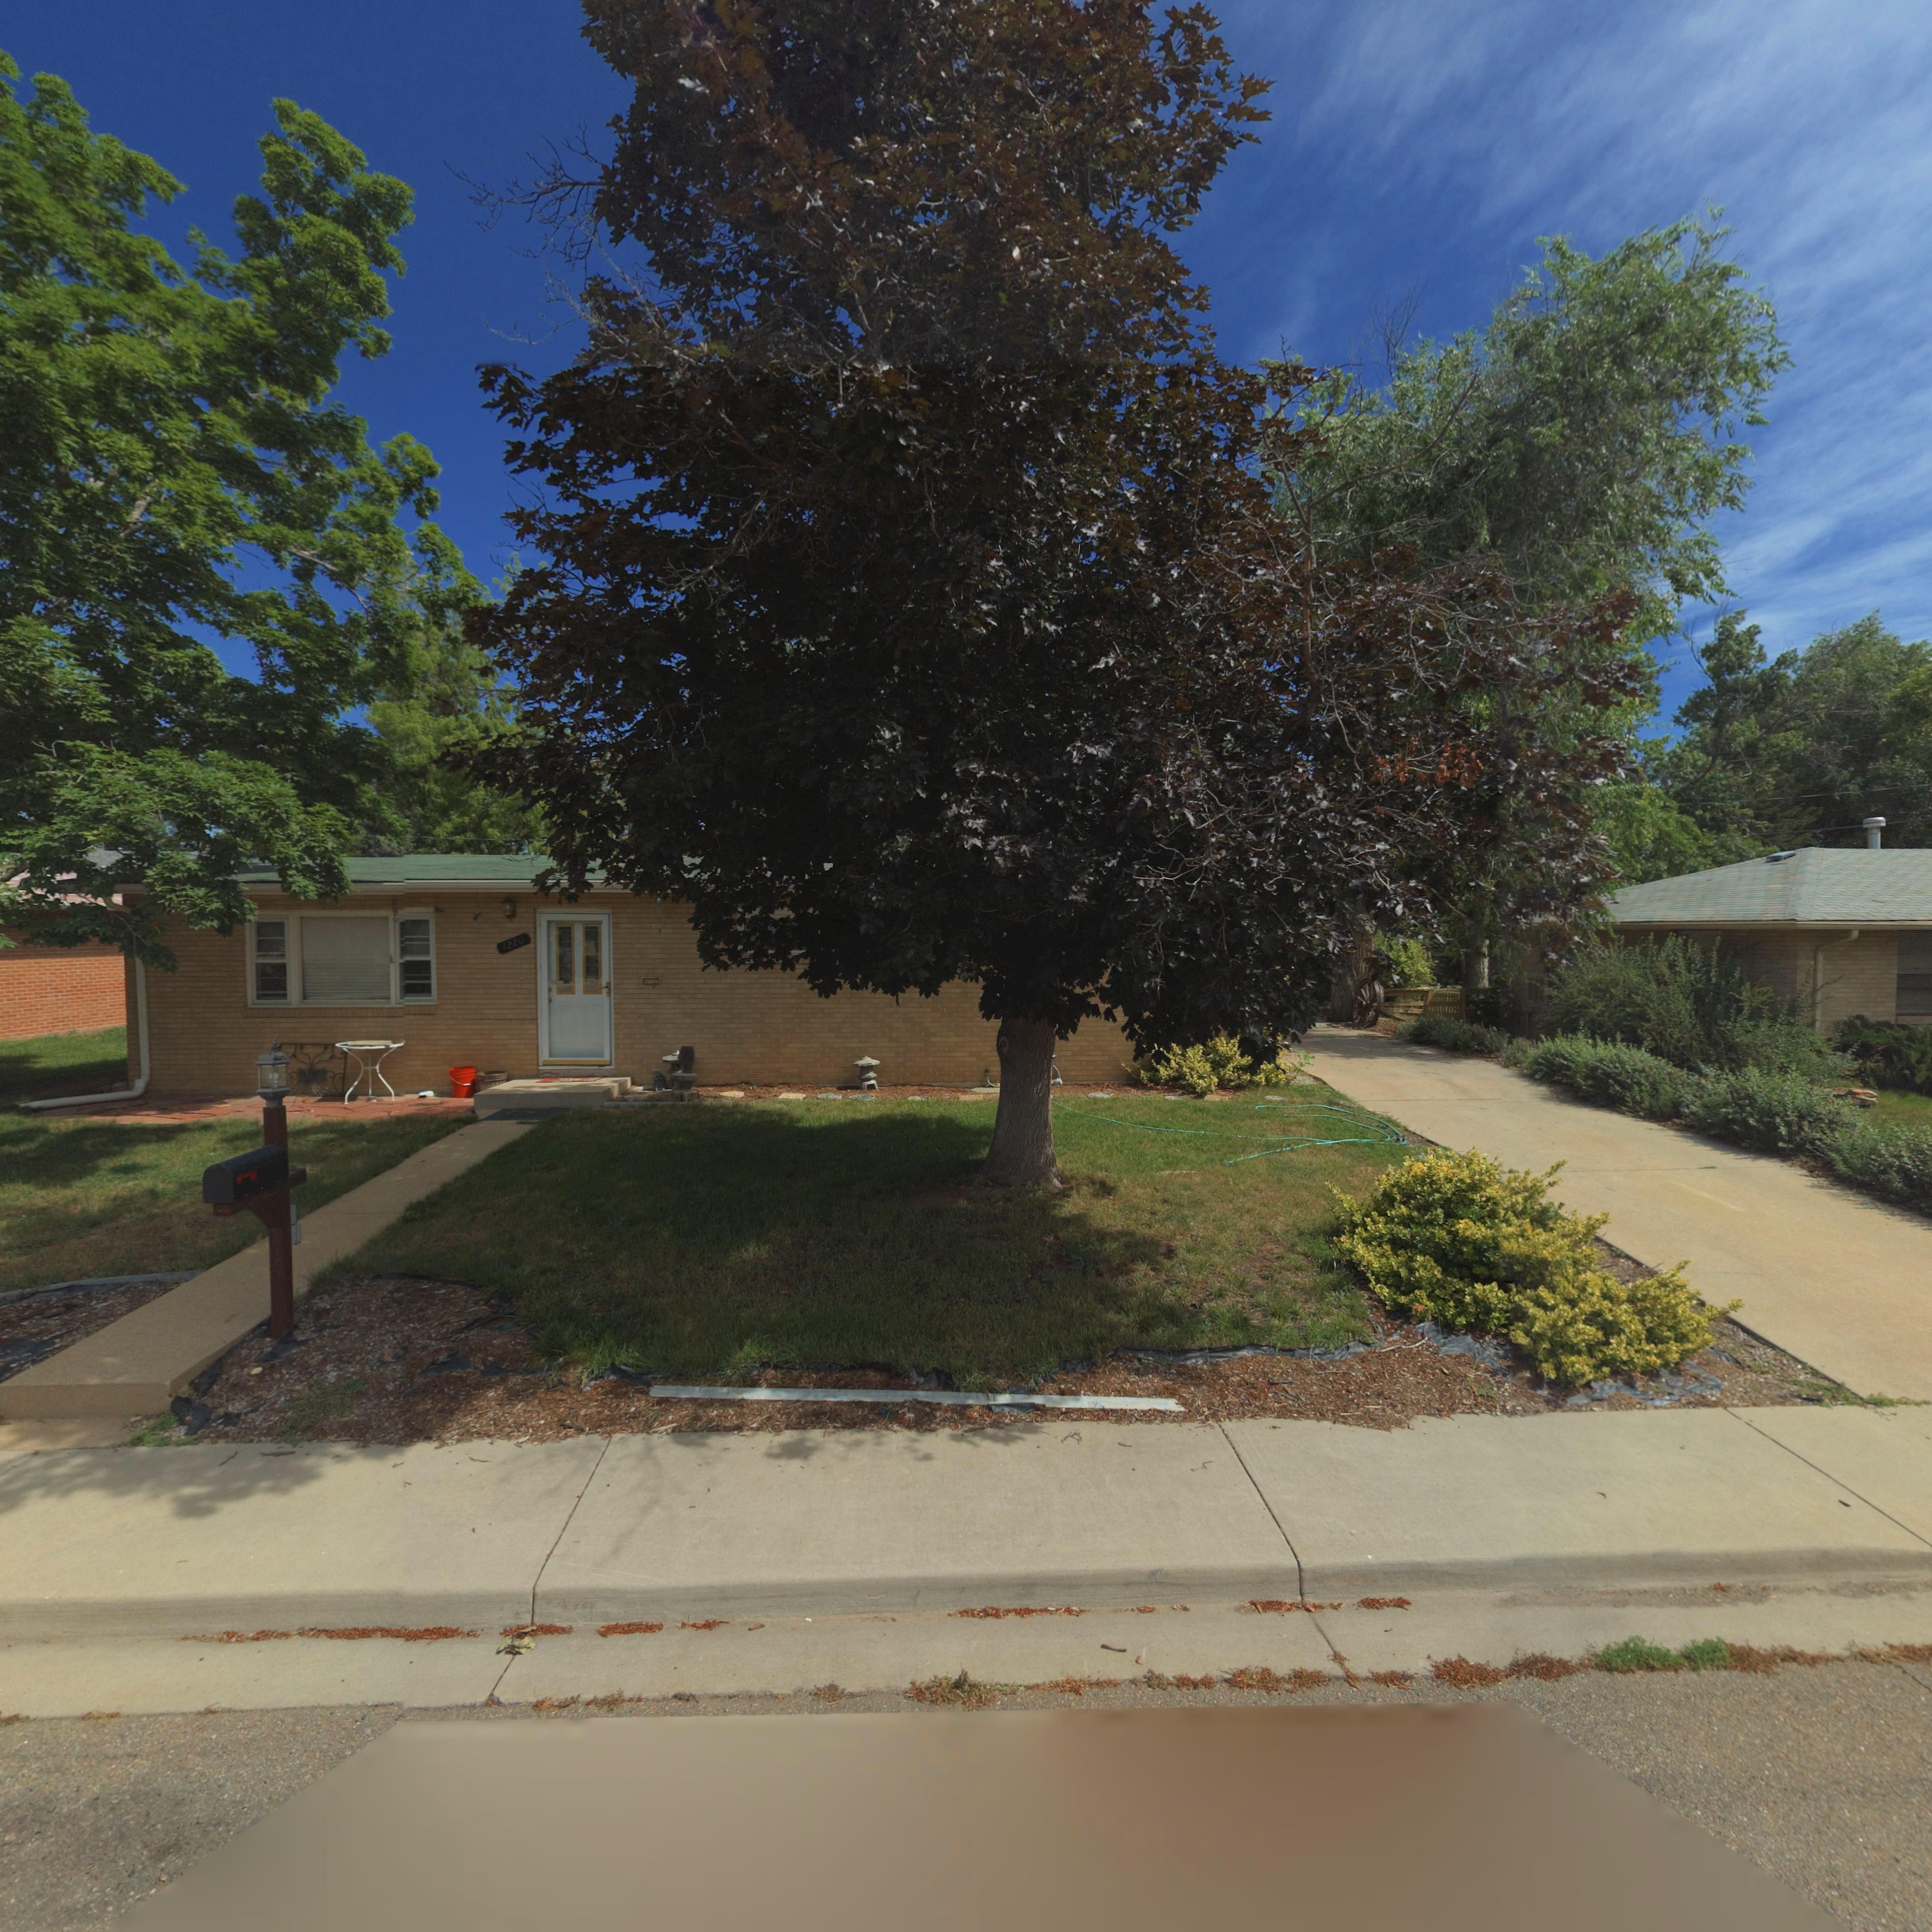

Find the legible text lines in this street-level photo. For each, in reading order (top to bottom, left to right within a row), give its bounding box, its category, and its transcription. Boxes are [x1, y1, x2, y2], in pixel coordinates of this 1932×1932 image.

[502, 936, 525, 951] StreetNumber: 1220